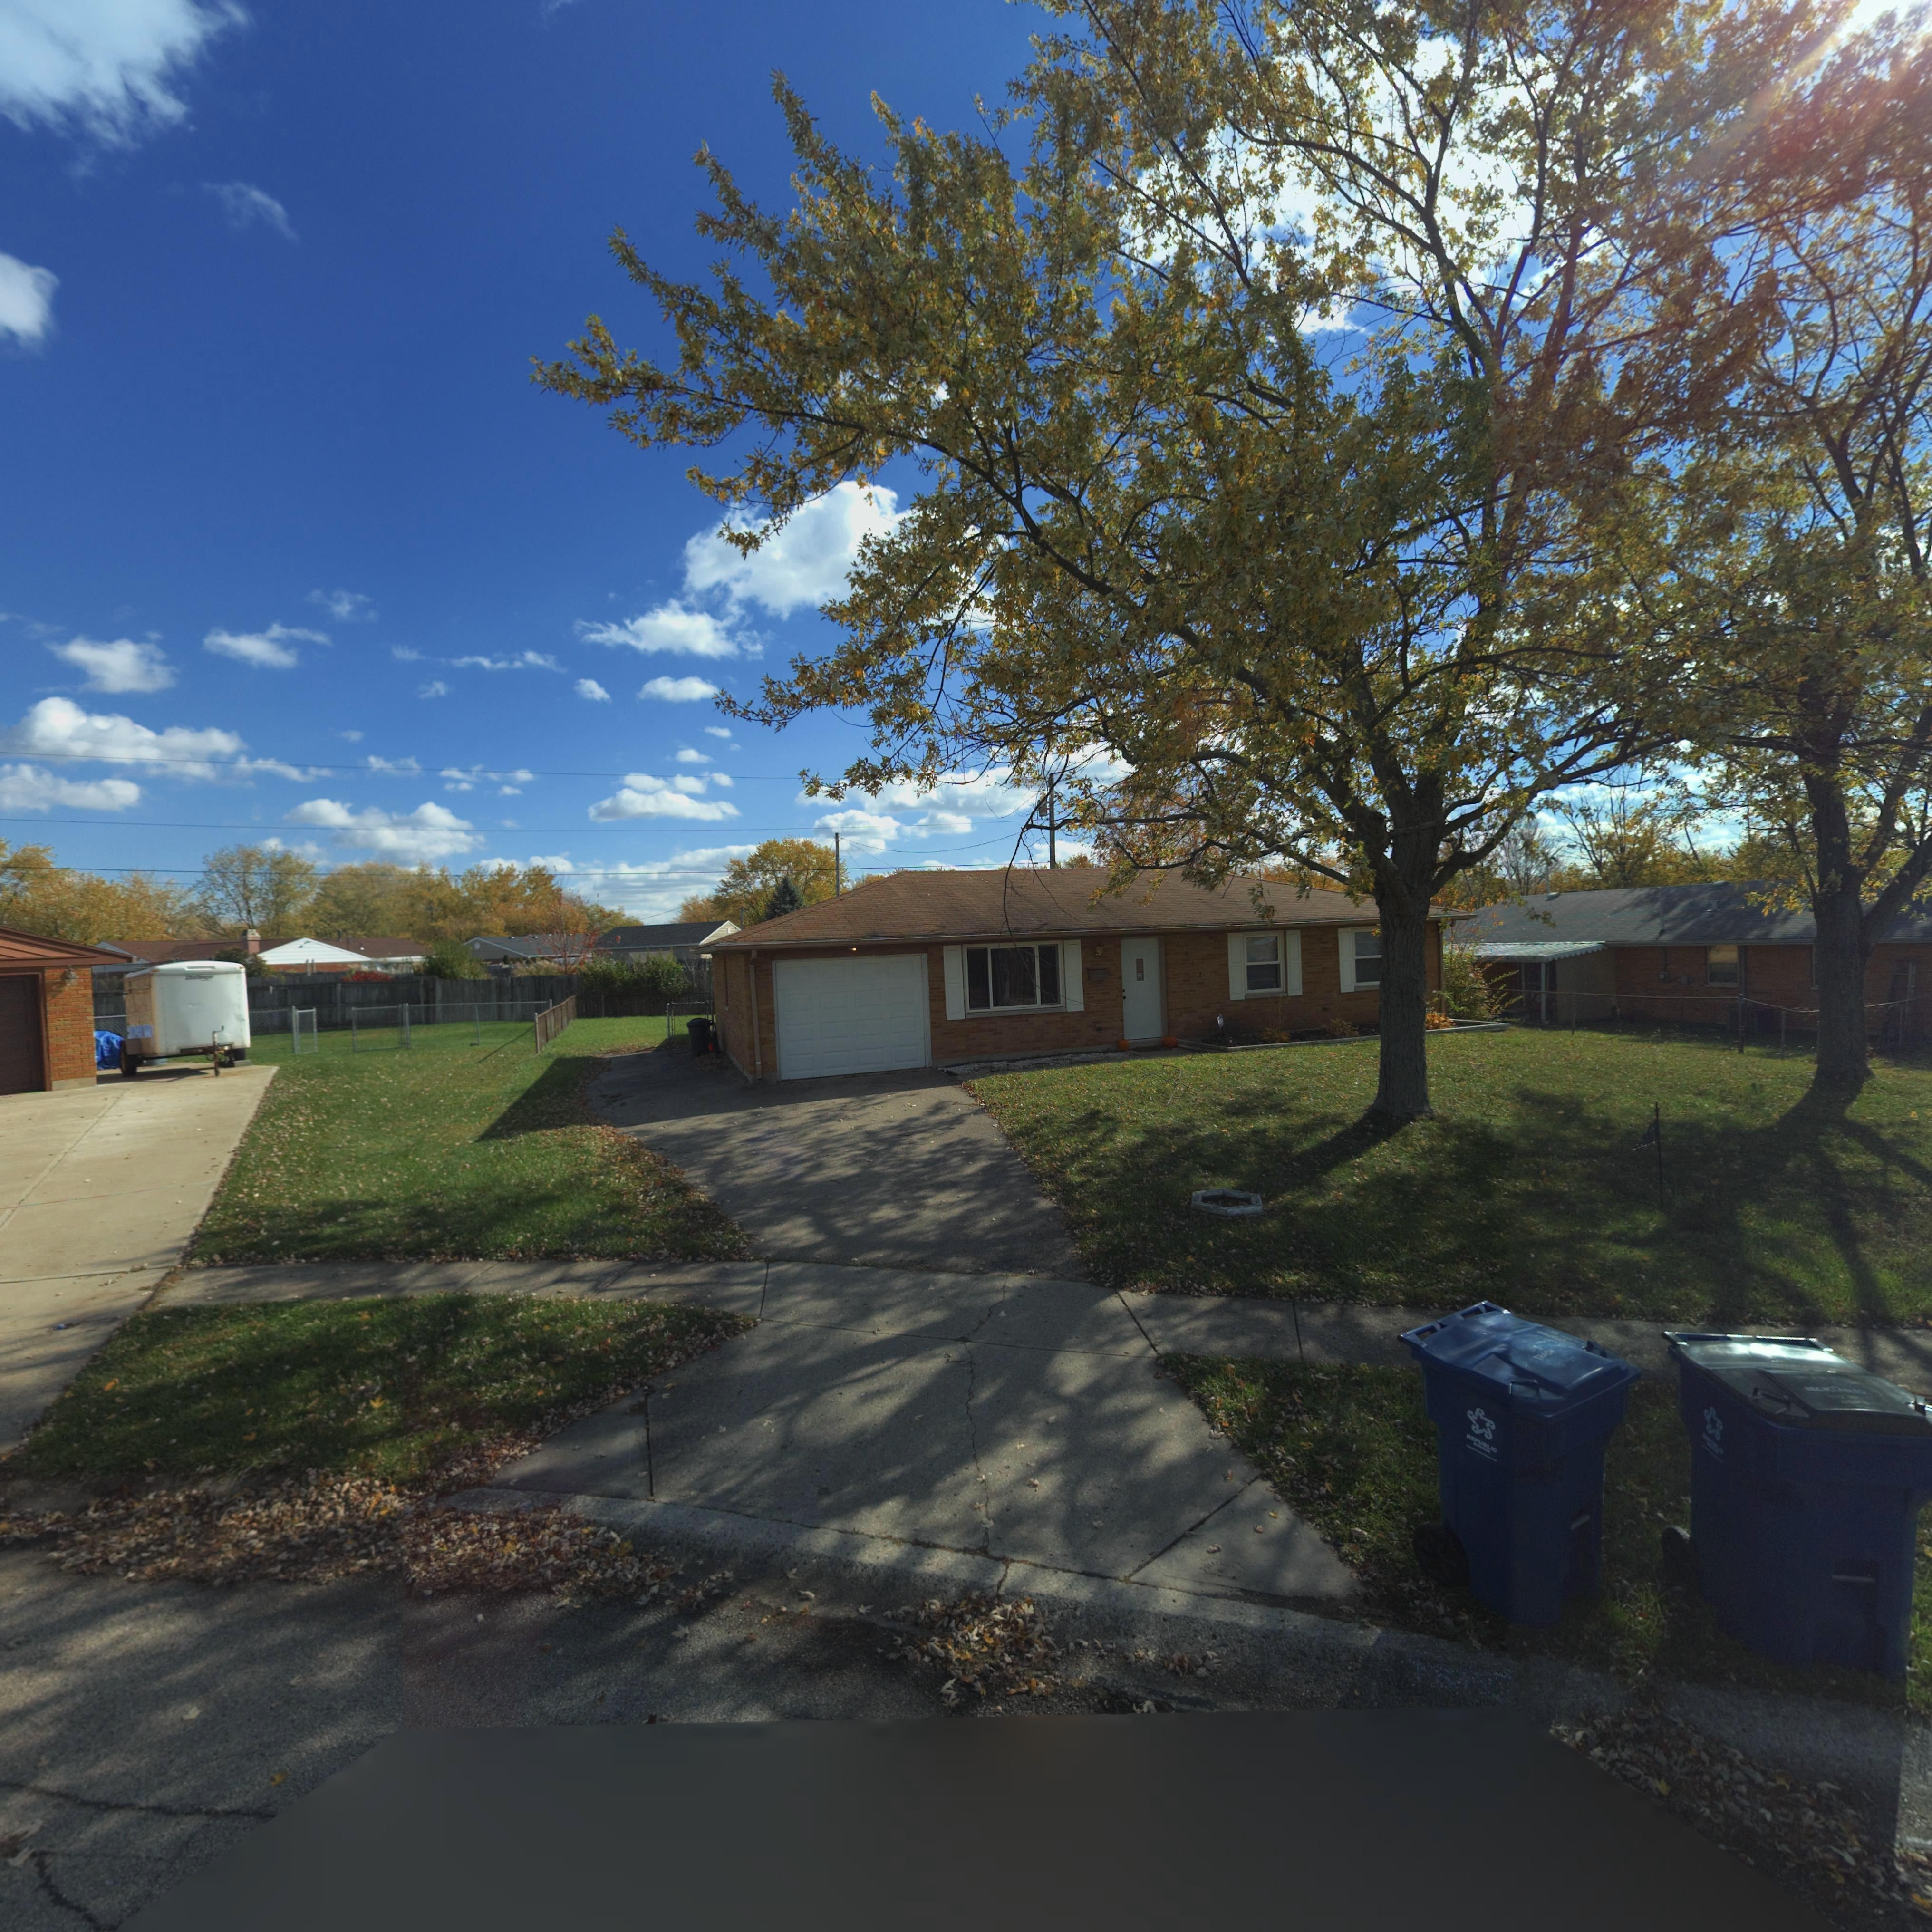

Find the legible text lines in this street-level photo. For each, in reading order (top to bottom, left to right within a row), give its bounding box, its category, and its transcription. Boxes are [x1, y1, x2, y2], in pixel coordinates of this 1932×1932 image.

[1176, 941, 1202, 978] StreetNumber: 7612